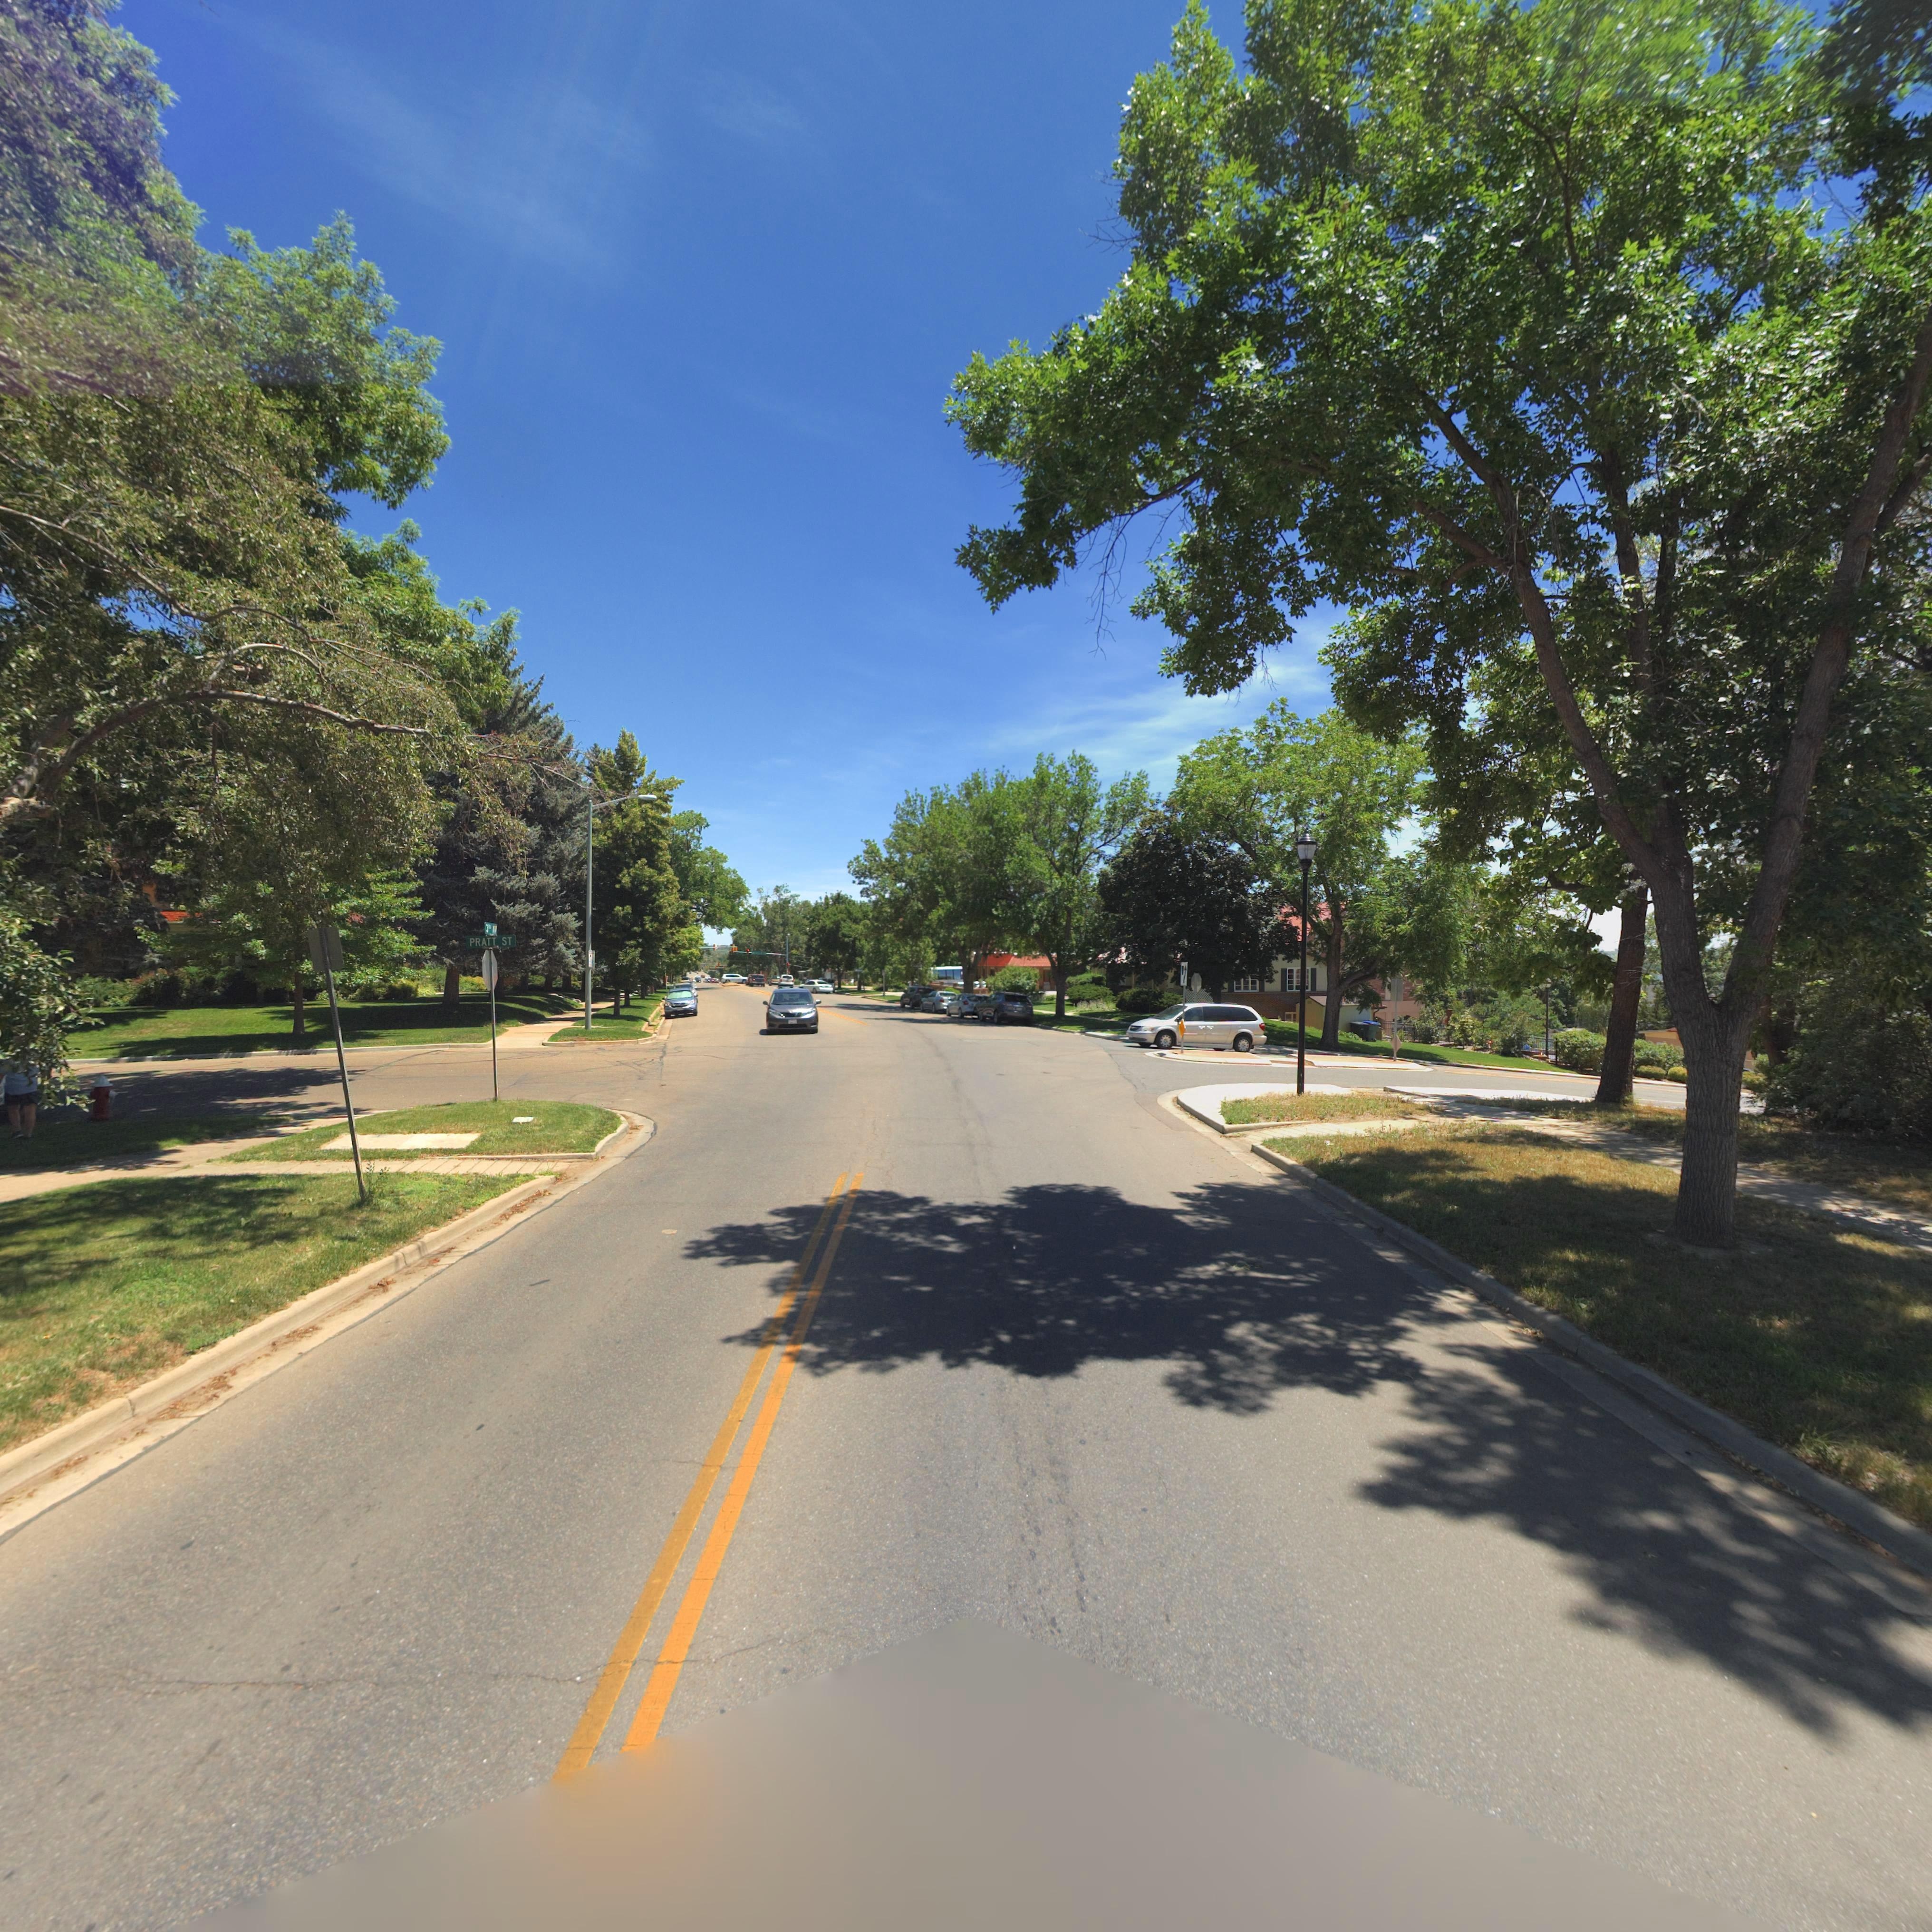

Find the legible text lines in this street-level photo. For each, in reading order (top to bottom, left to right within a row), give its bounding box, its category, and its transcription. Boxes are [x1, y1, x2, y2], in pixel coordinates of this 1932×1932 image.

[485, 924, 497, 934] StreetName: 3** AV
[469, 937, 512, 947] StreetName: PRATT ST